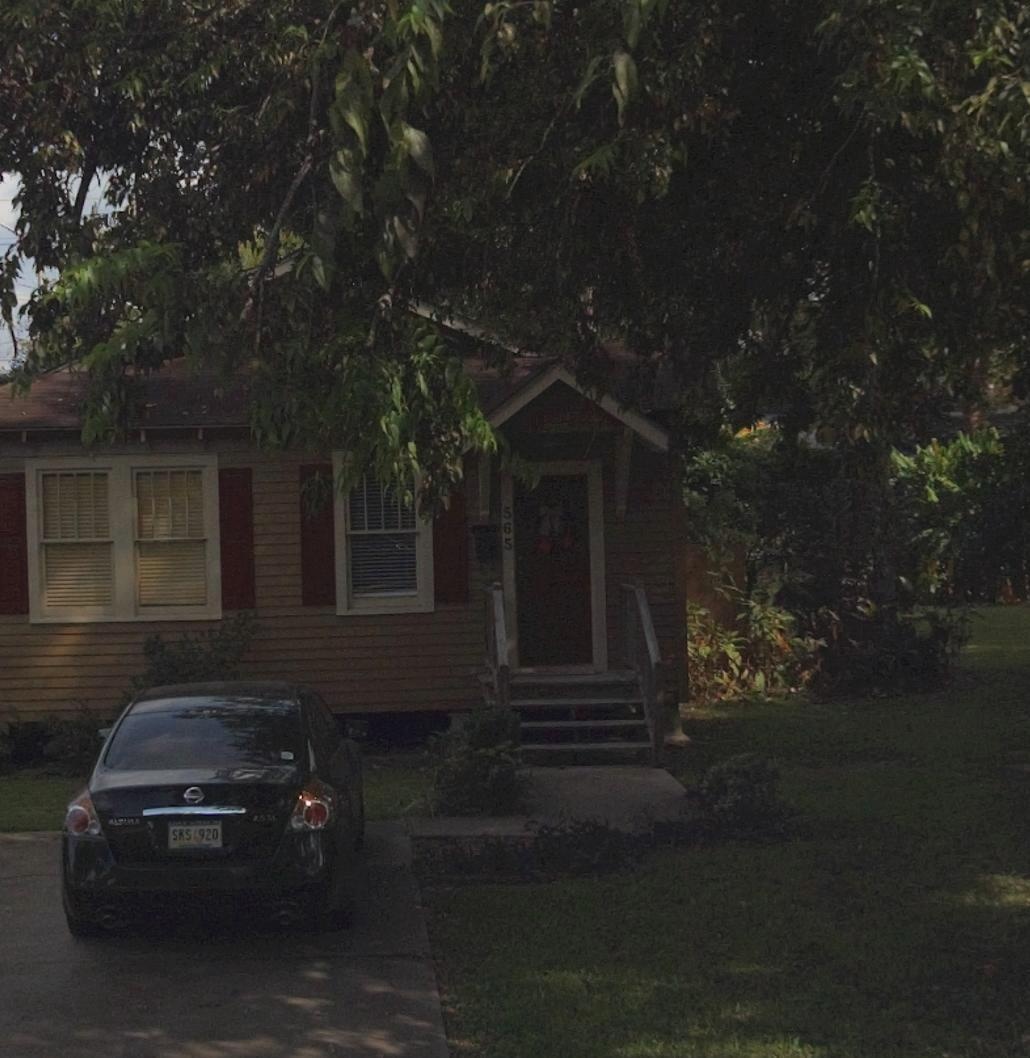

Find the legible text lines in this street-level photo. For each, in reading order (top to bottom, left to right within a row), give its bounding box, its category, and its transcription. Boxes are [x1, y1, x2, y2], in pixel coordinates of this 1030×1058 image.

[500, 503, 515, 554] StreetNumber: 565